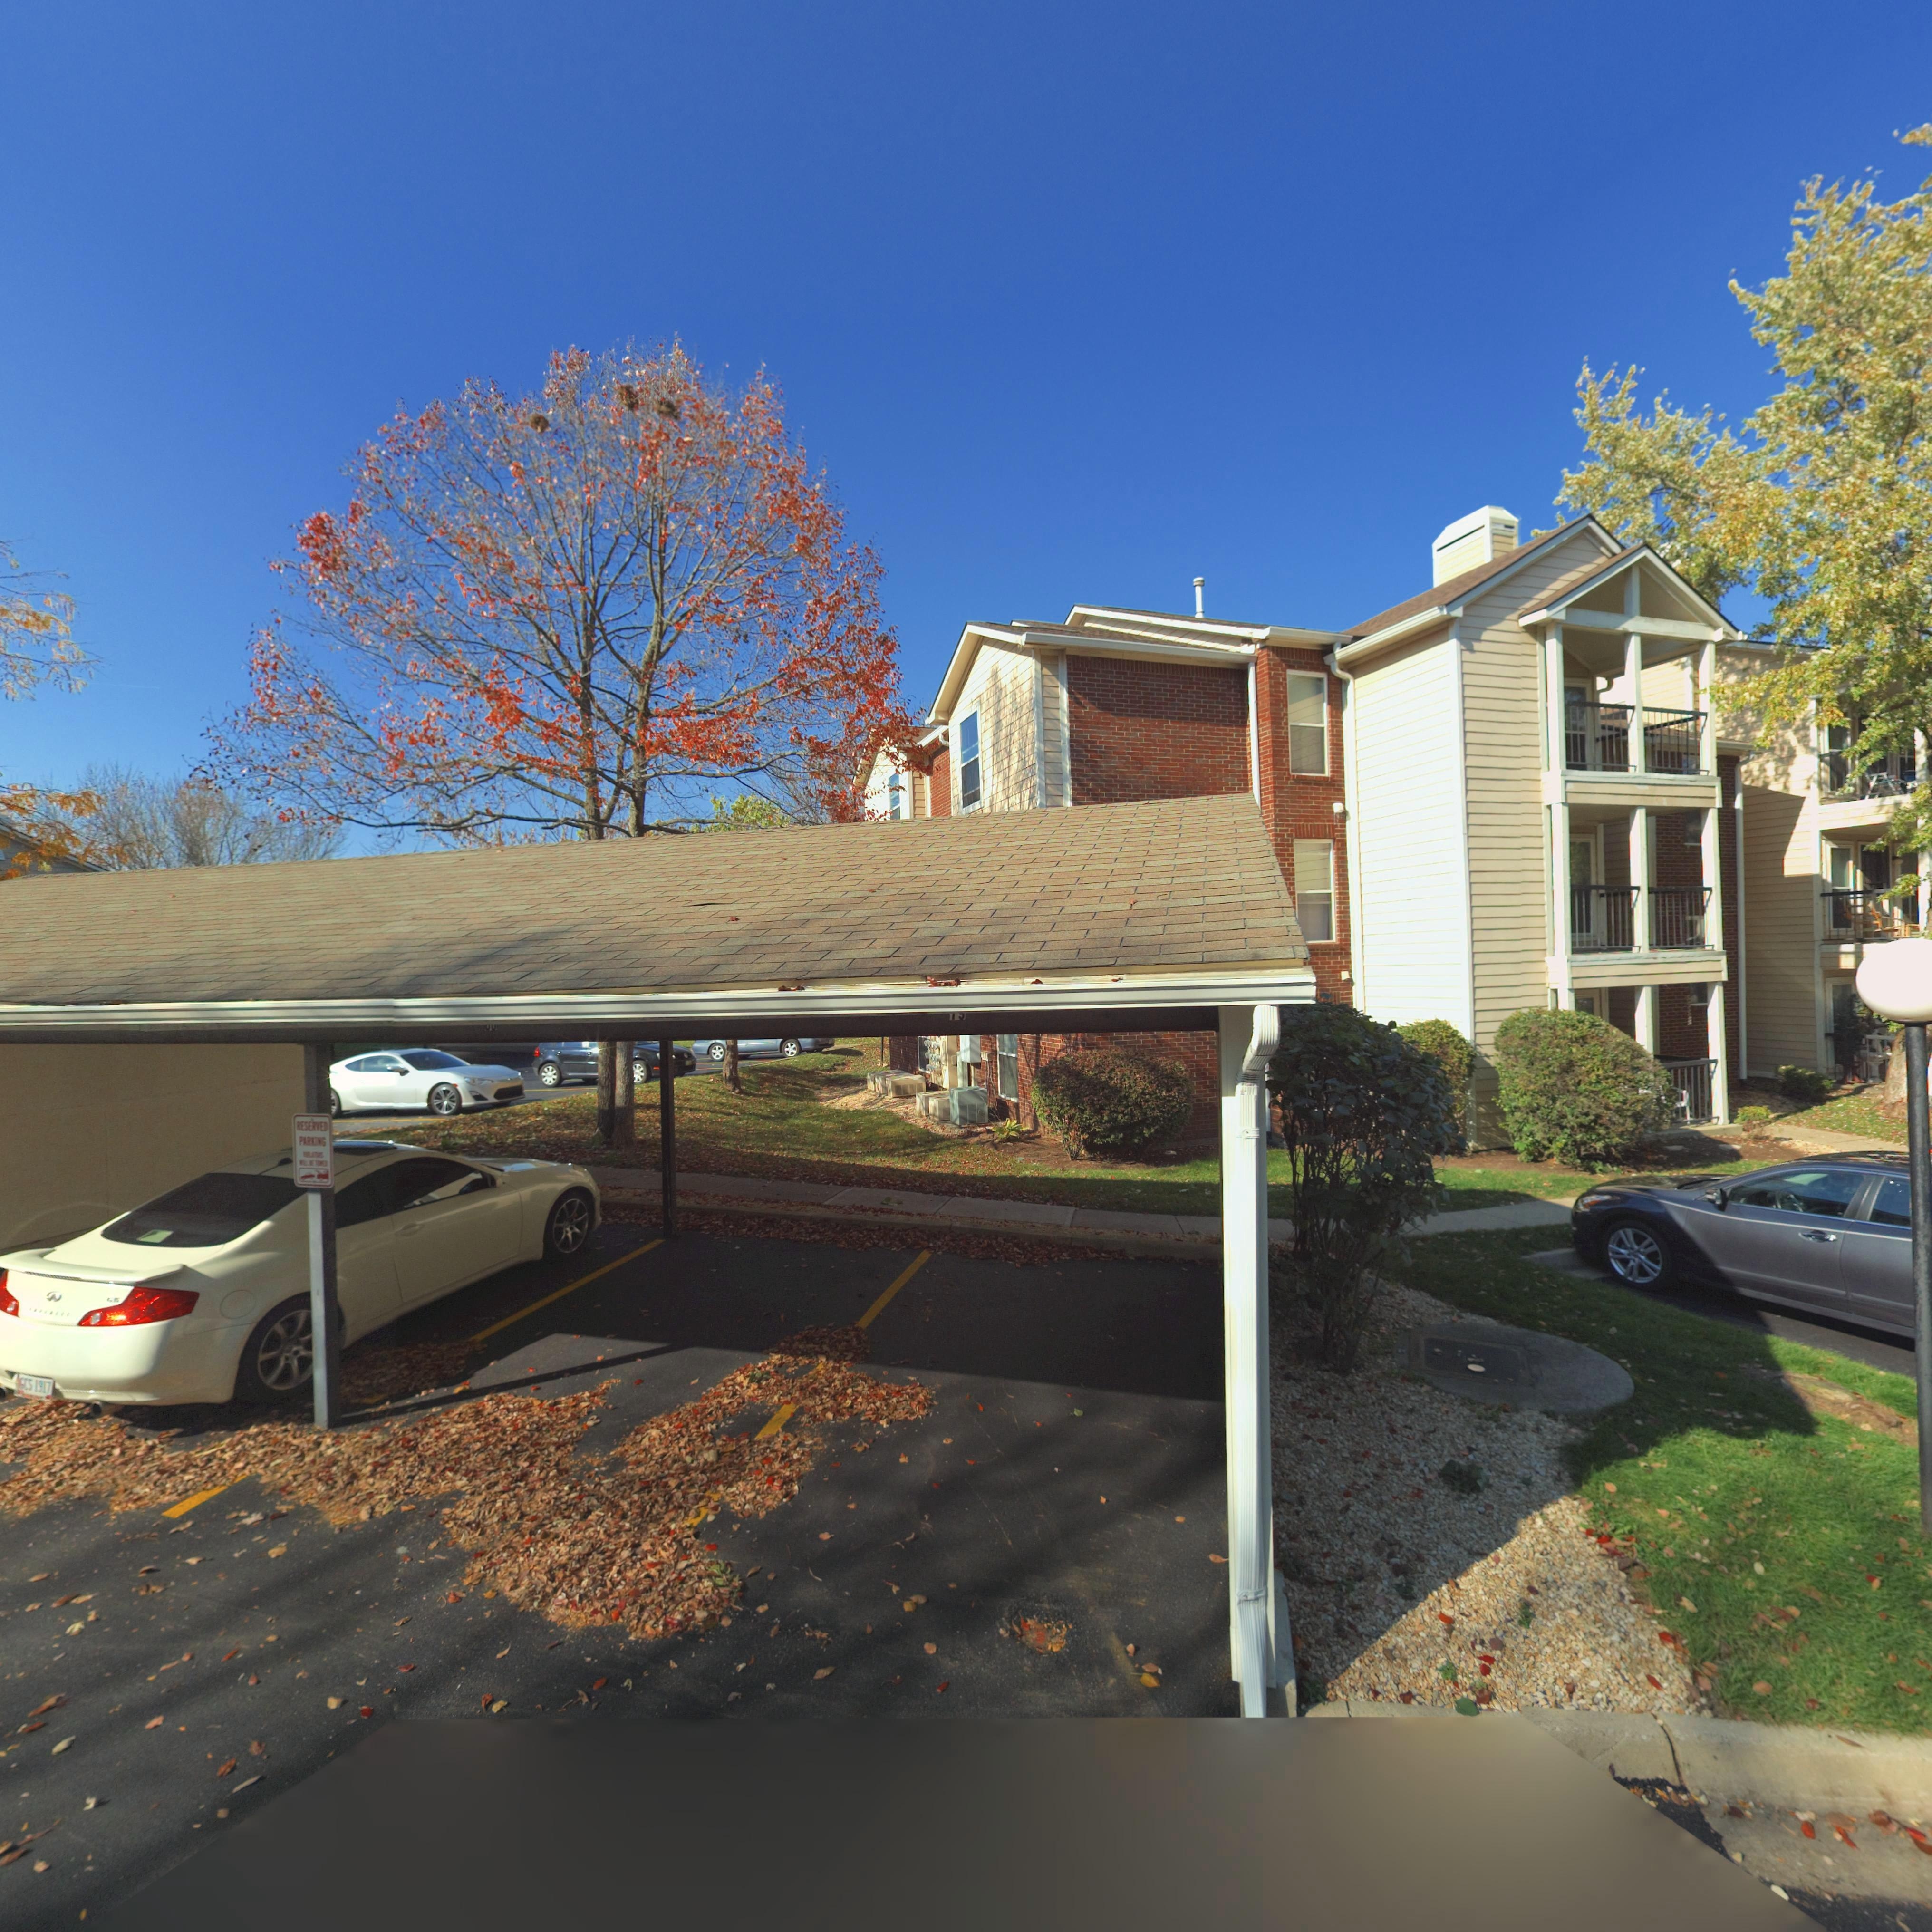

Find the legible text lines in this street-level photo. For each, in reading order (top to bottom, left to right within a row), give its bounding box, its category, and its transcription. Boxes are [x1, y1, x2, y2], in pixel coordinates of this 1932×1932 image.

[295, 1120, 329, 1132] None: RESER*ED
[298, 1135, 328, 1148] None: PA*****
[22, 1376, 53, 1395] None: CS 1917